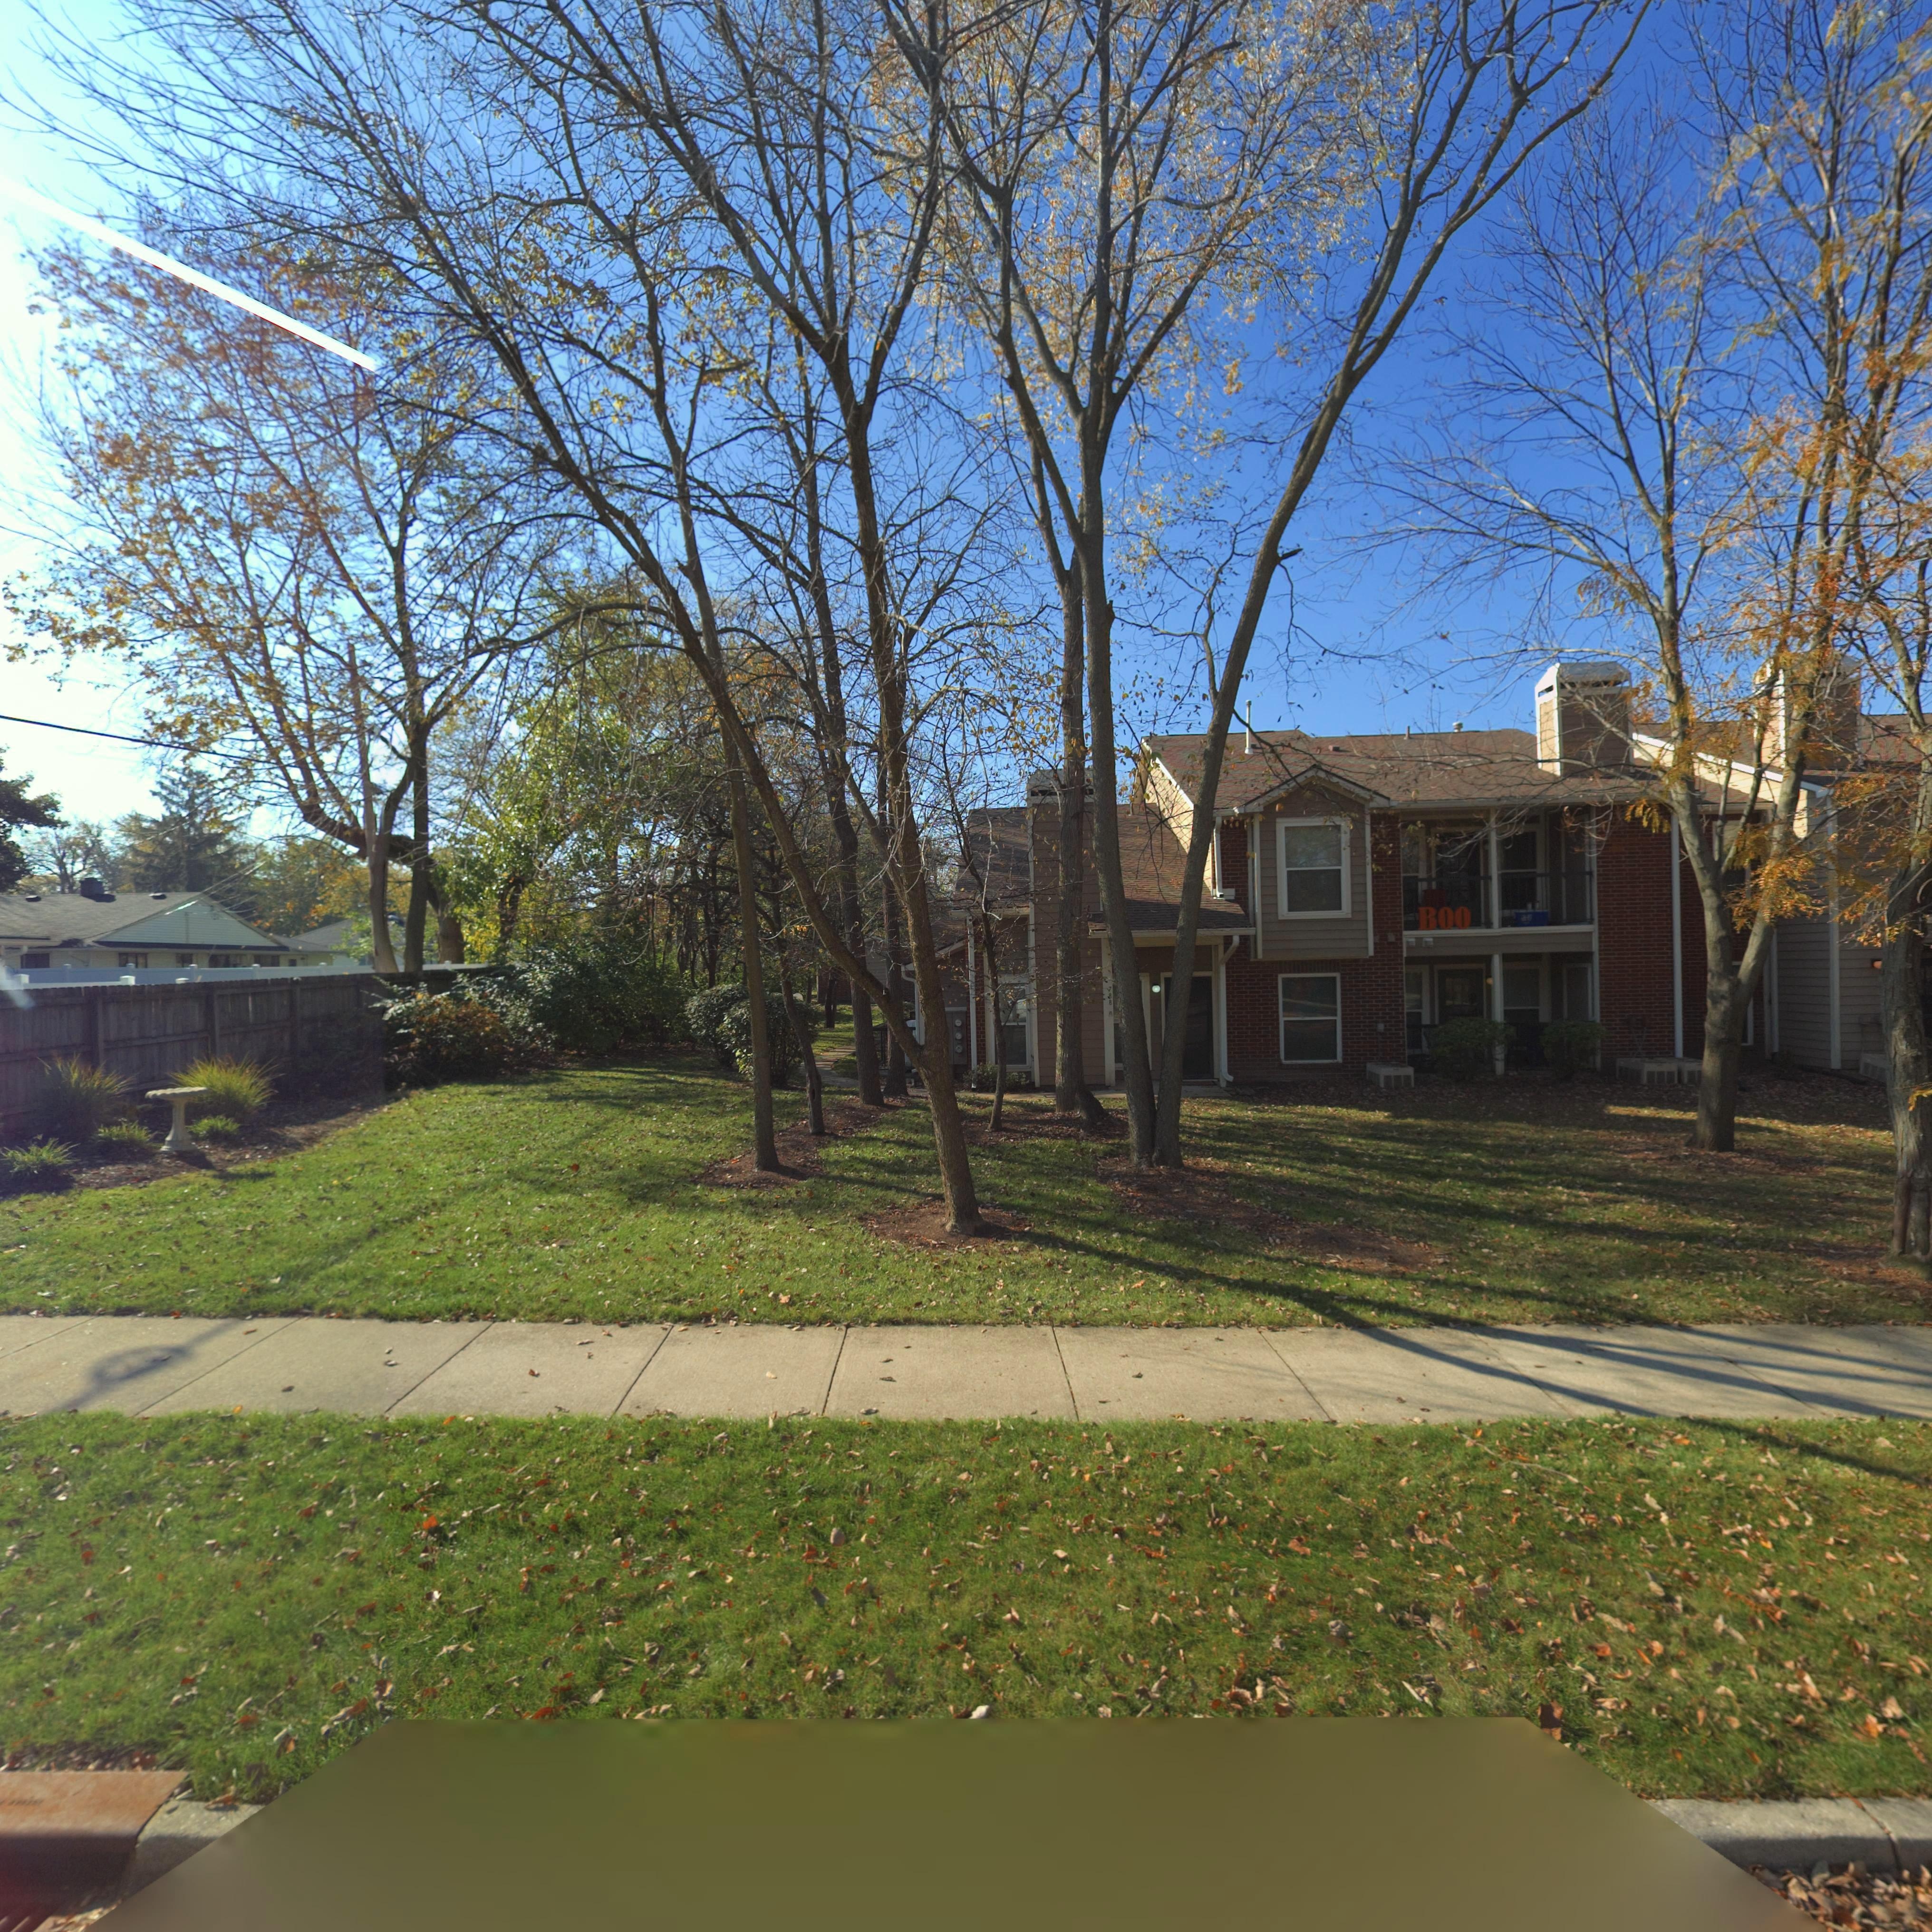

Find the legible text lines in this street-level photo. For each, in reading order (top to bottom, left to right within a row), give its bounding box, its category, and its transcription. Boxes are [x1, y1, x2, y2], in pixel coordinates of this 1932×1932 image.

[1417, 906, 1472, 930] None: BOO
[1108, 986, 1112, 1006] StreetNumber: 788